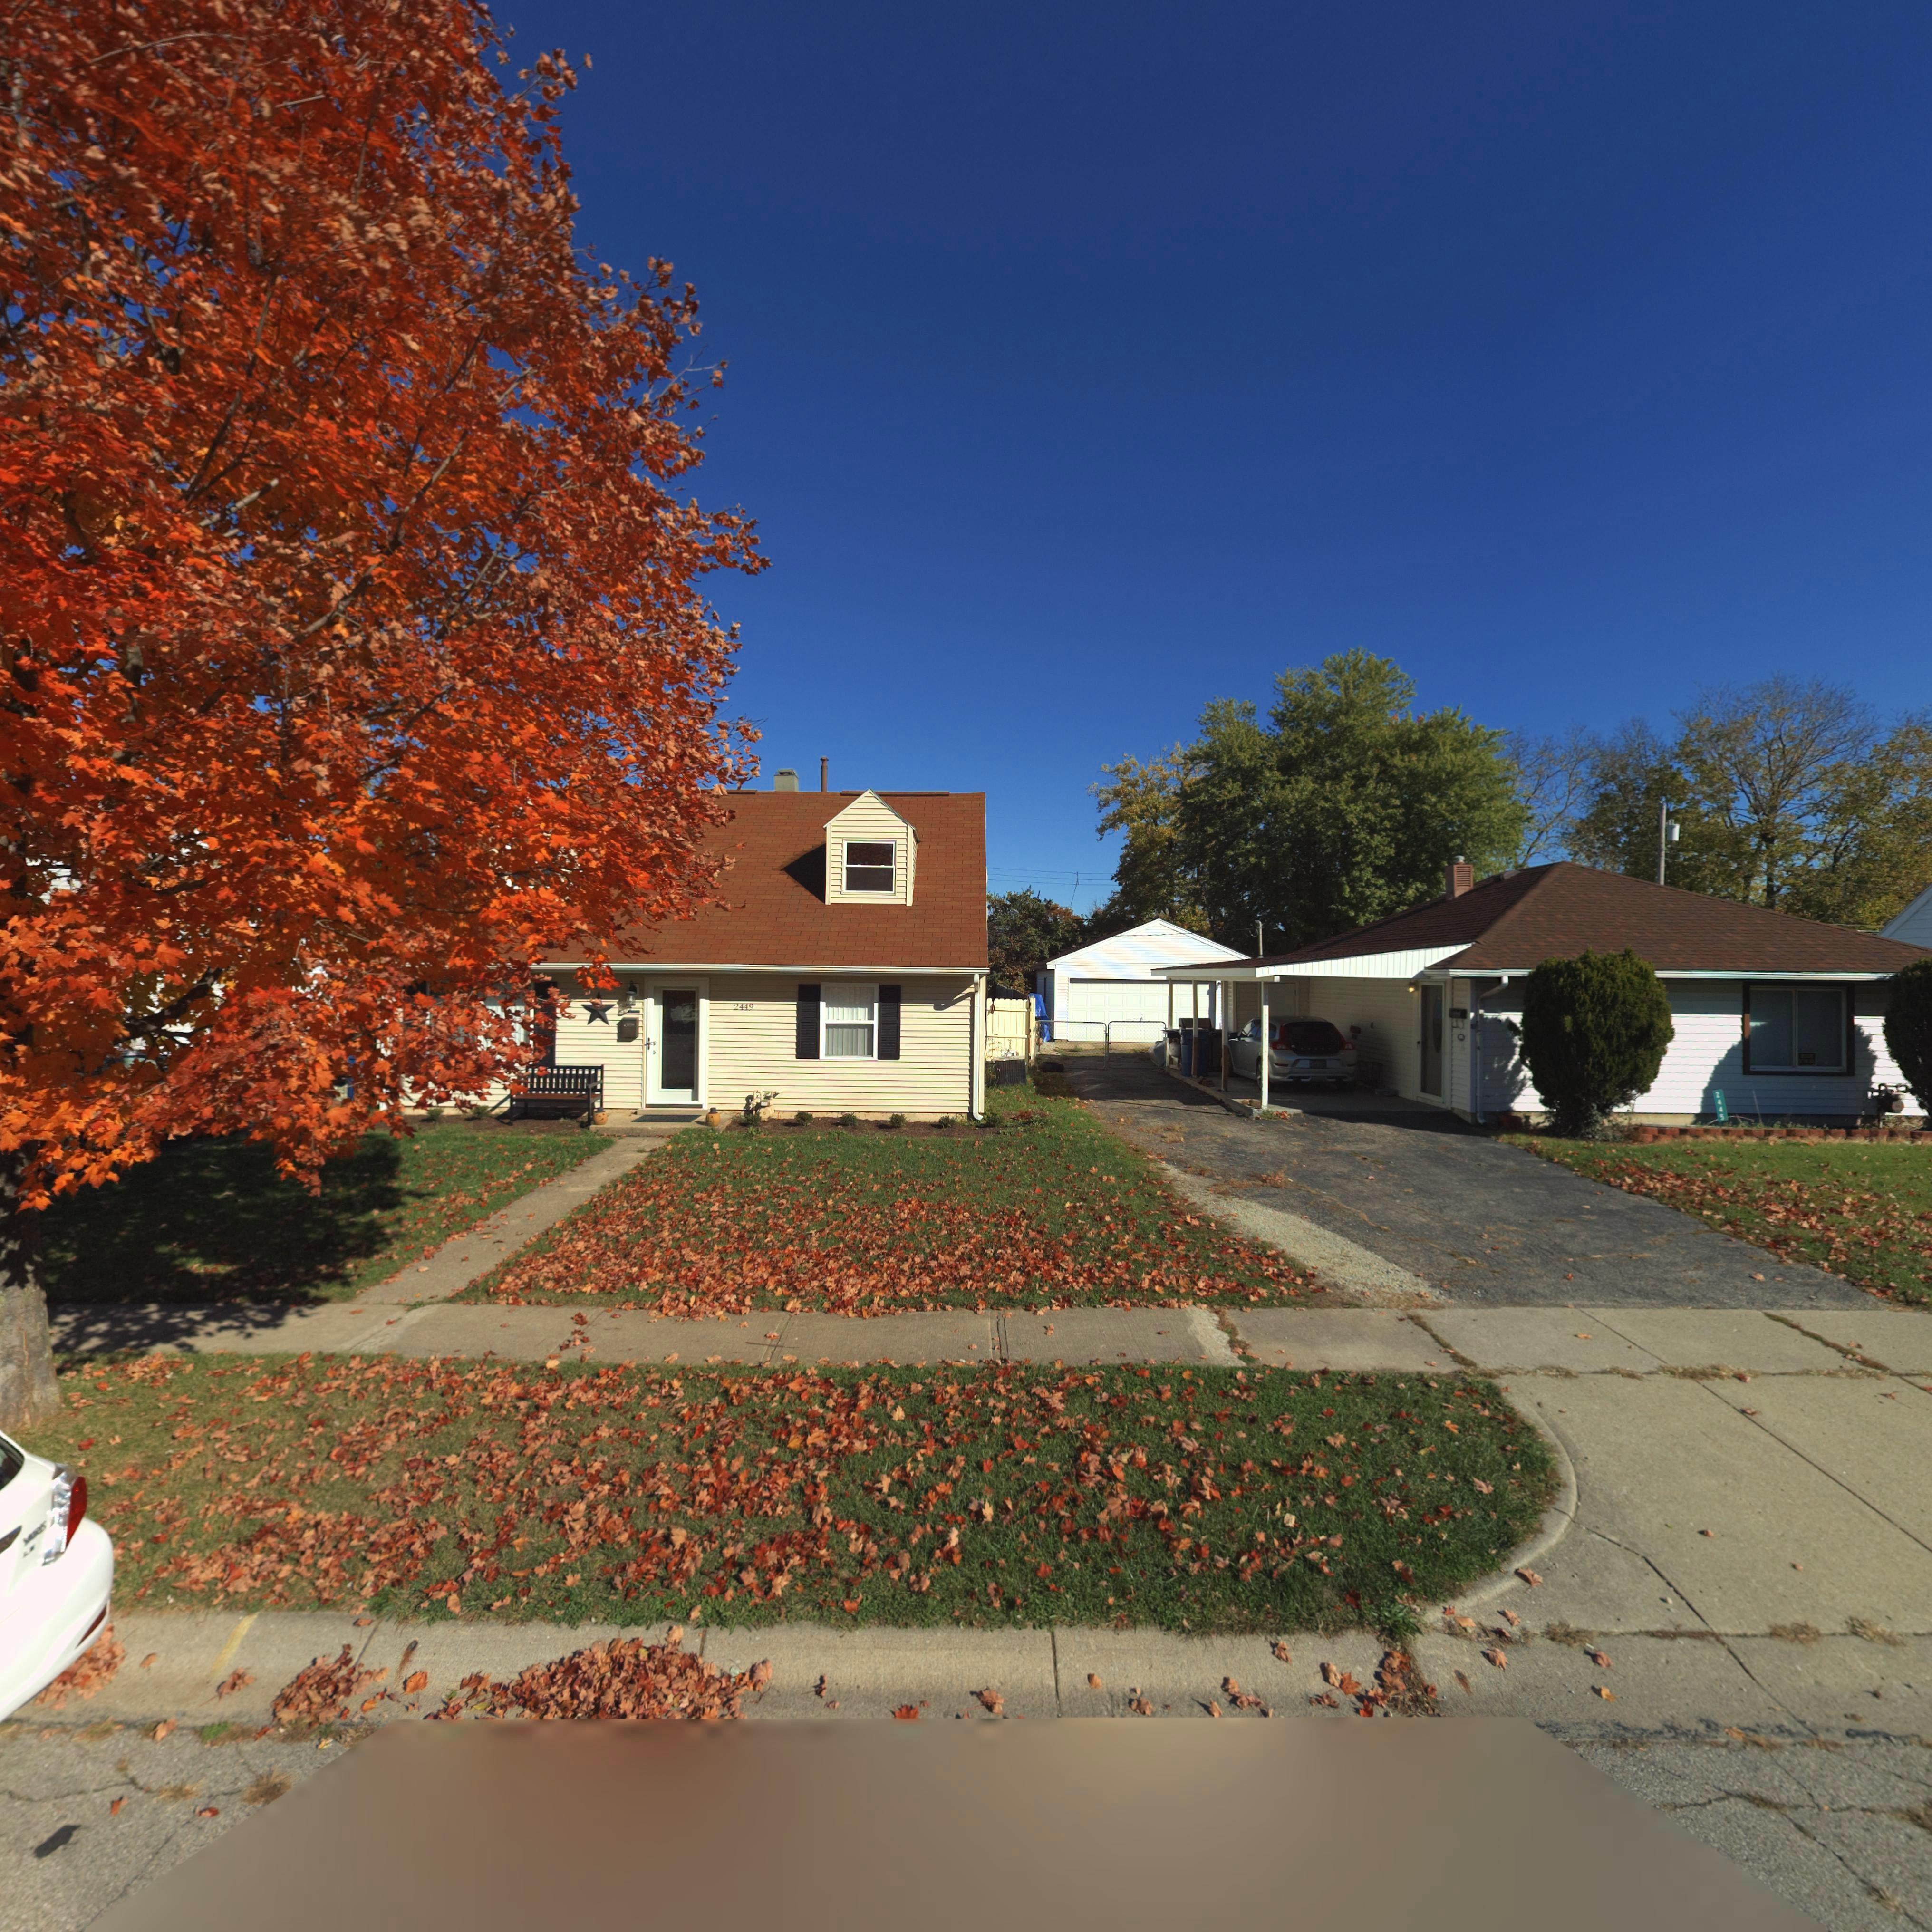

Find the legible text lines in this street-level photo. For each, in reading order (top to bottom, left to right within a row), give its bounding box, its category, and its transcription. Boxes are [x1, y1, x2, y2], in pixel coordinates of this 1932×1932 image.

[733, 1003, 754, 1011] StreetNumber: 2449
[1714, 1091, 1725, 1121] StreetNumber: 2445